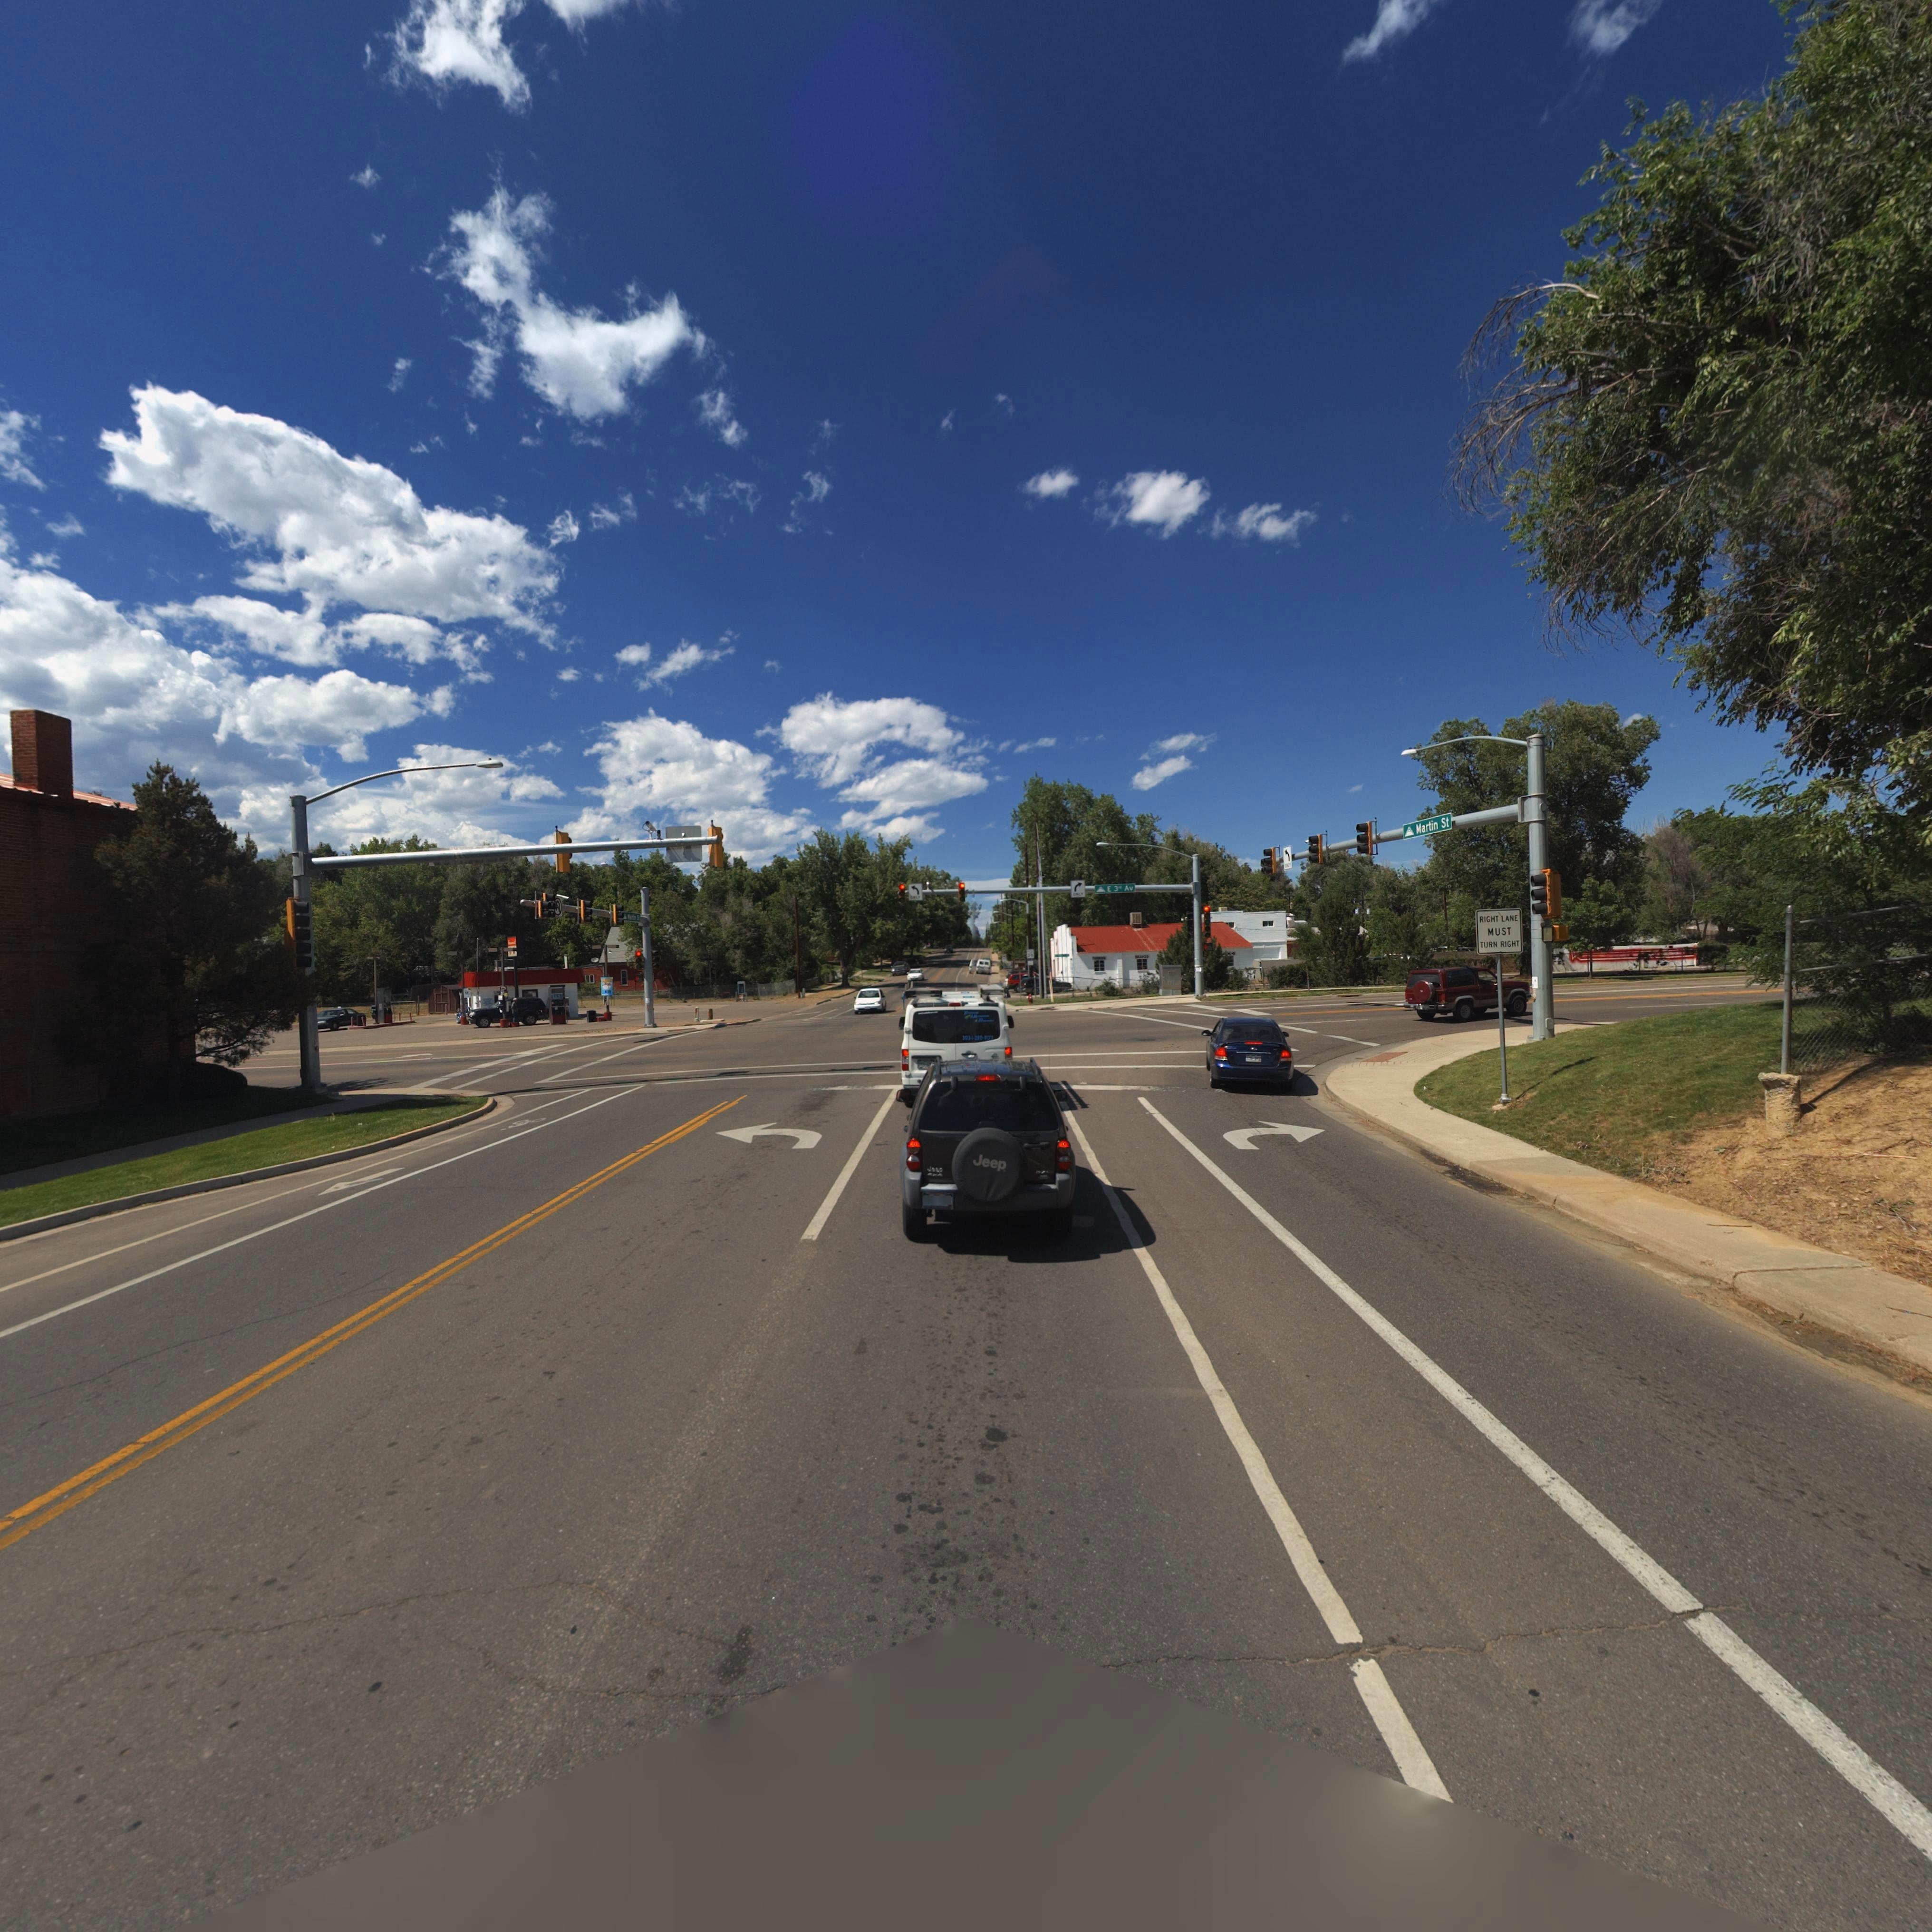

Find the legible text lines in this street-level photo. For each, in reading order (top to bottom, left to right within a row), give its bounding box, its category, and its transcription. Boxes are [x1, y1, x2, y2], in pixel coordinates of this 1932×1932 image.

[1415, 815, 1449, 835] StreetName: Martin St
[1107, 884, 1133, 892] StreetName: E 3rd Av
[627, 913, 640, 921] StreetName: Martin St
[508, 938, 516, 945] BusinessName: Gas**l